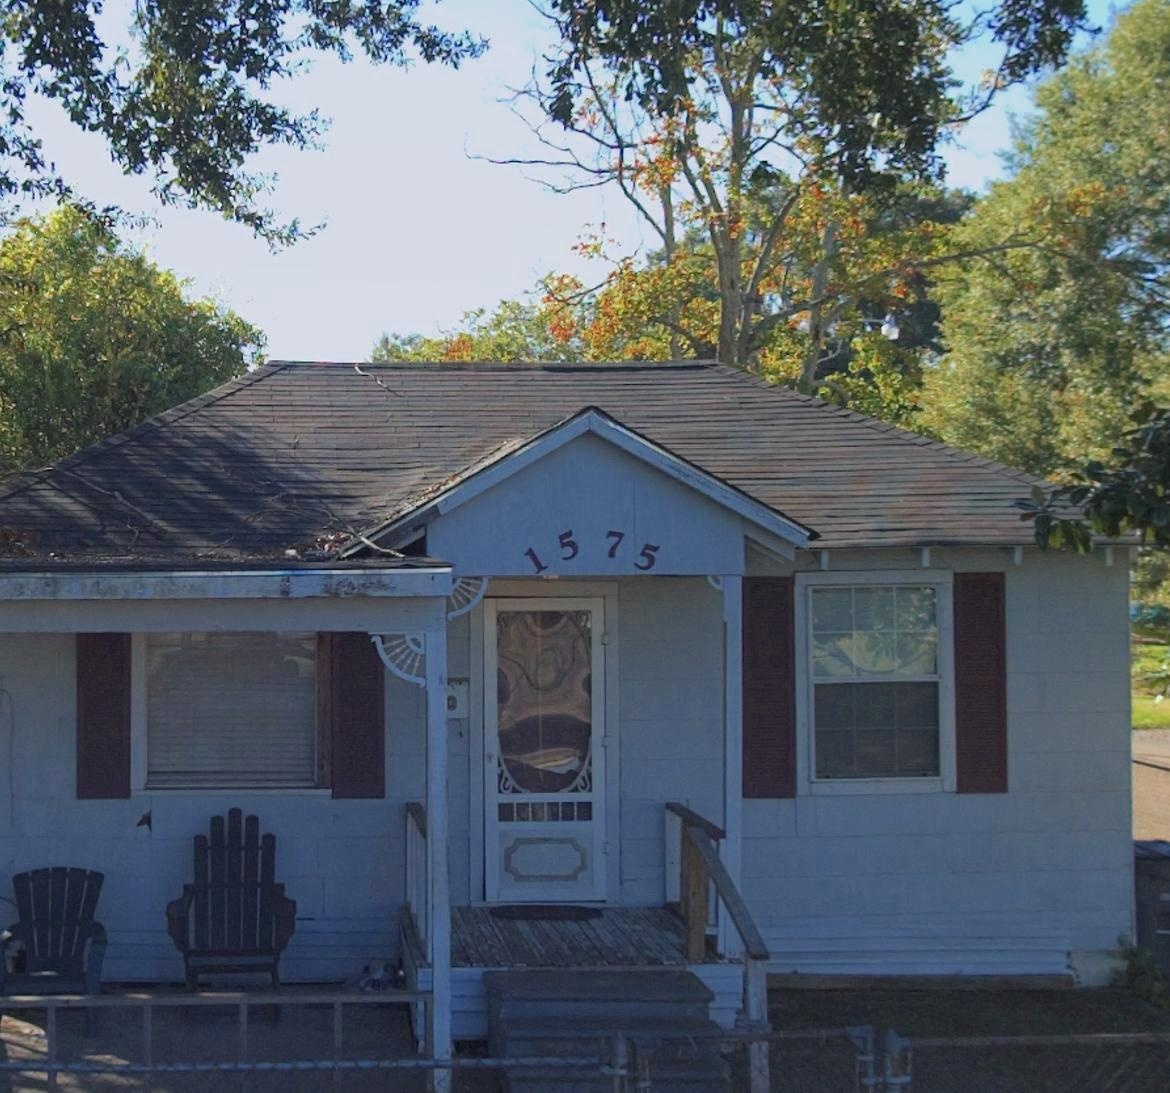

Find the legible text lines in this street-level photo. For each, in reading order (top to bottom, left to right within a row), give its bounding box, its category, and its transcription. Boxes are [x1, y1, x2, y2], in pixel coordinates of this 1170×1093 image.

[523, 527, 661, 577] StreetNumber: 1575